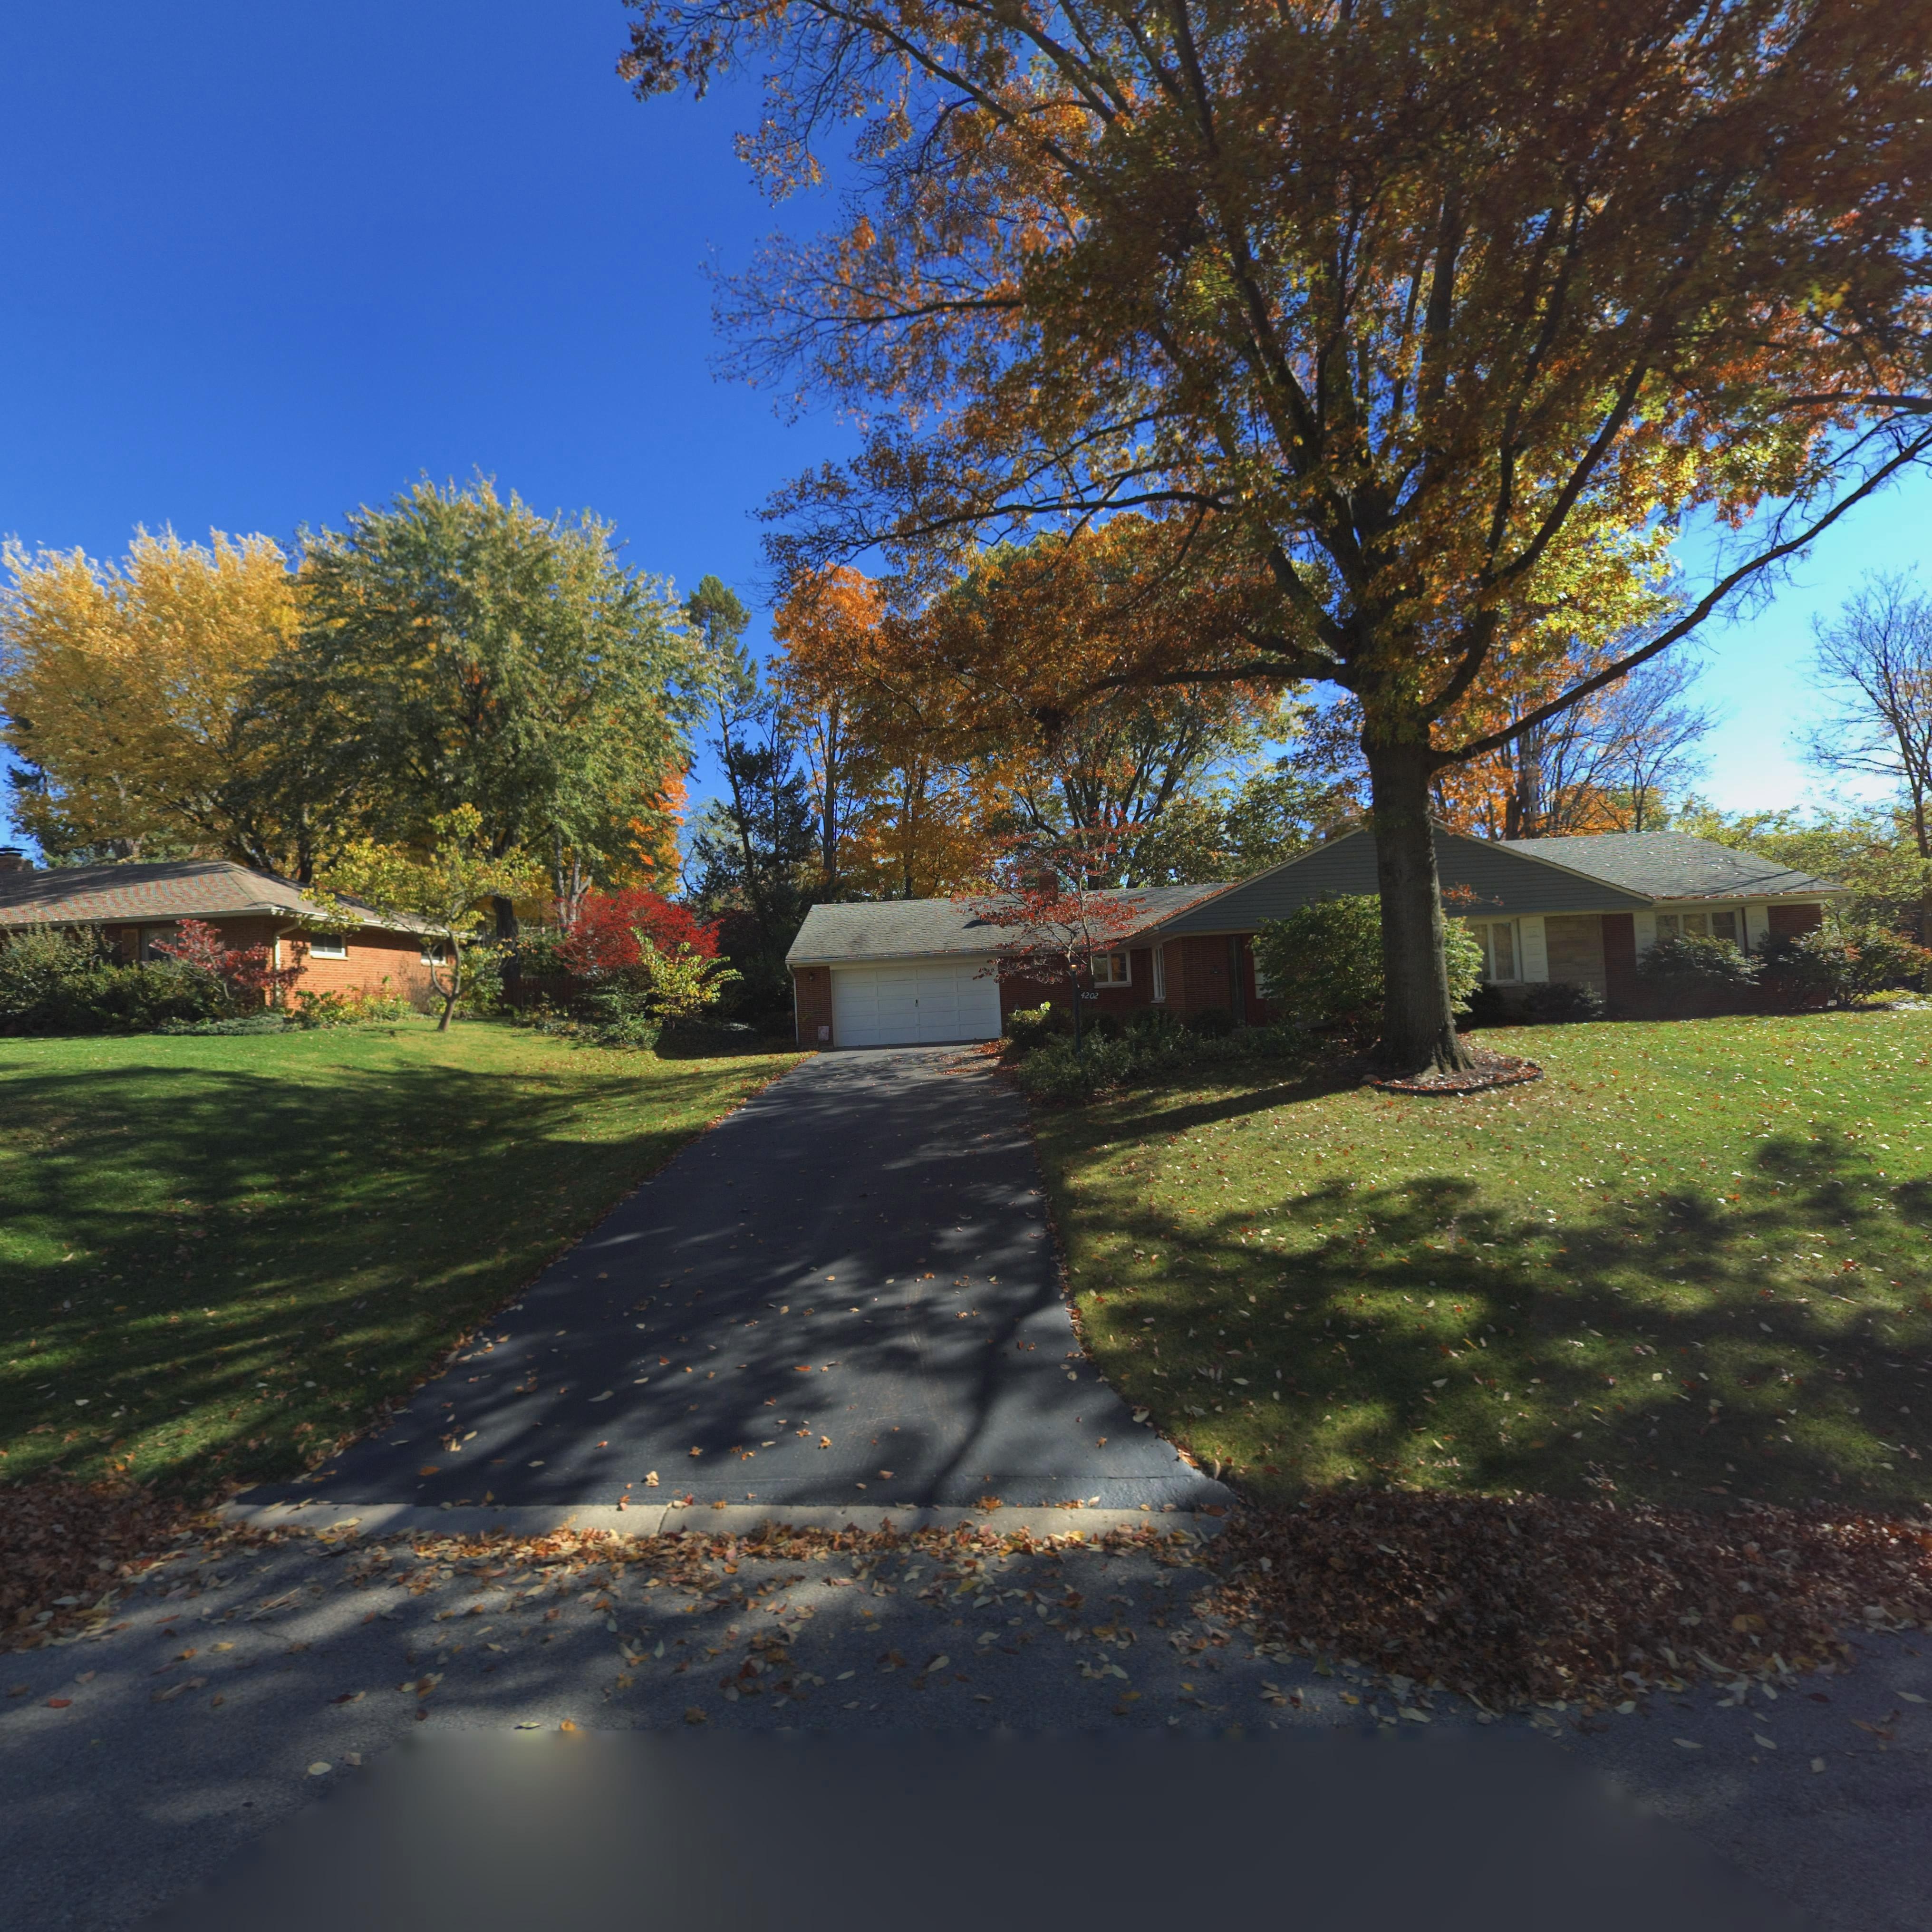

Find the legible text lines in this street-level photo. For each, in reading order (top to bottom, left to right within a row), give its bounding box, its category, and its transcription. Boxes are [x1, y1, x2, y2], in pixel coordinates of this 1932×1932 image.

[1080, 992, 1099, 999] StreetNumber: 4202